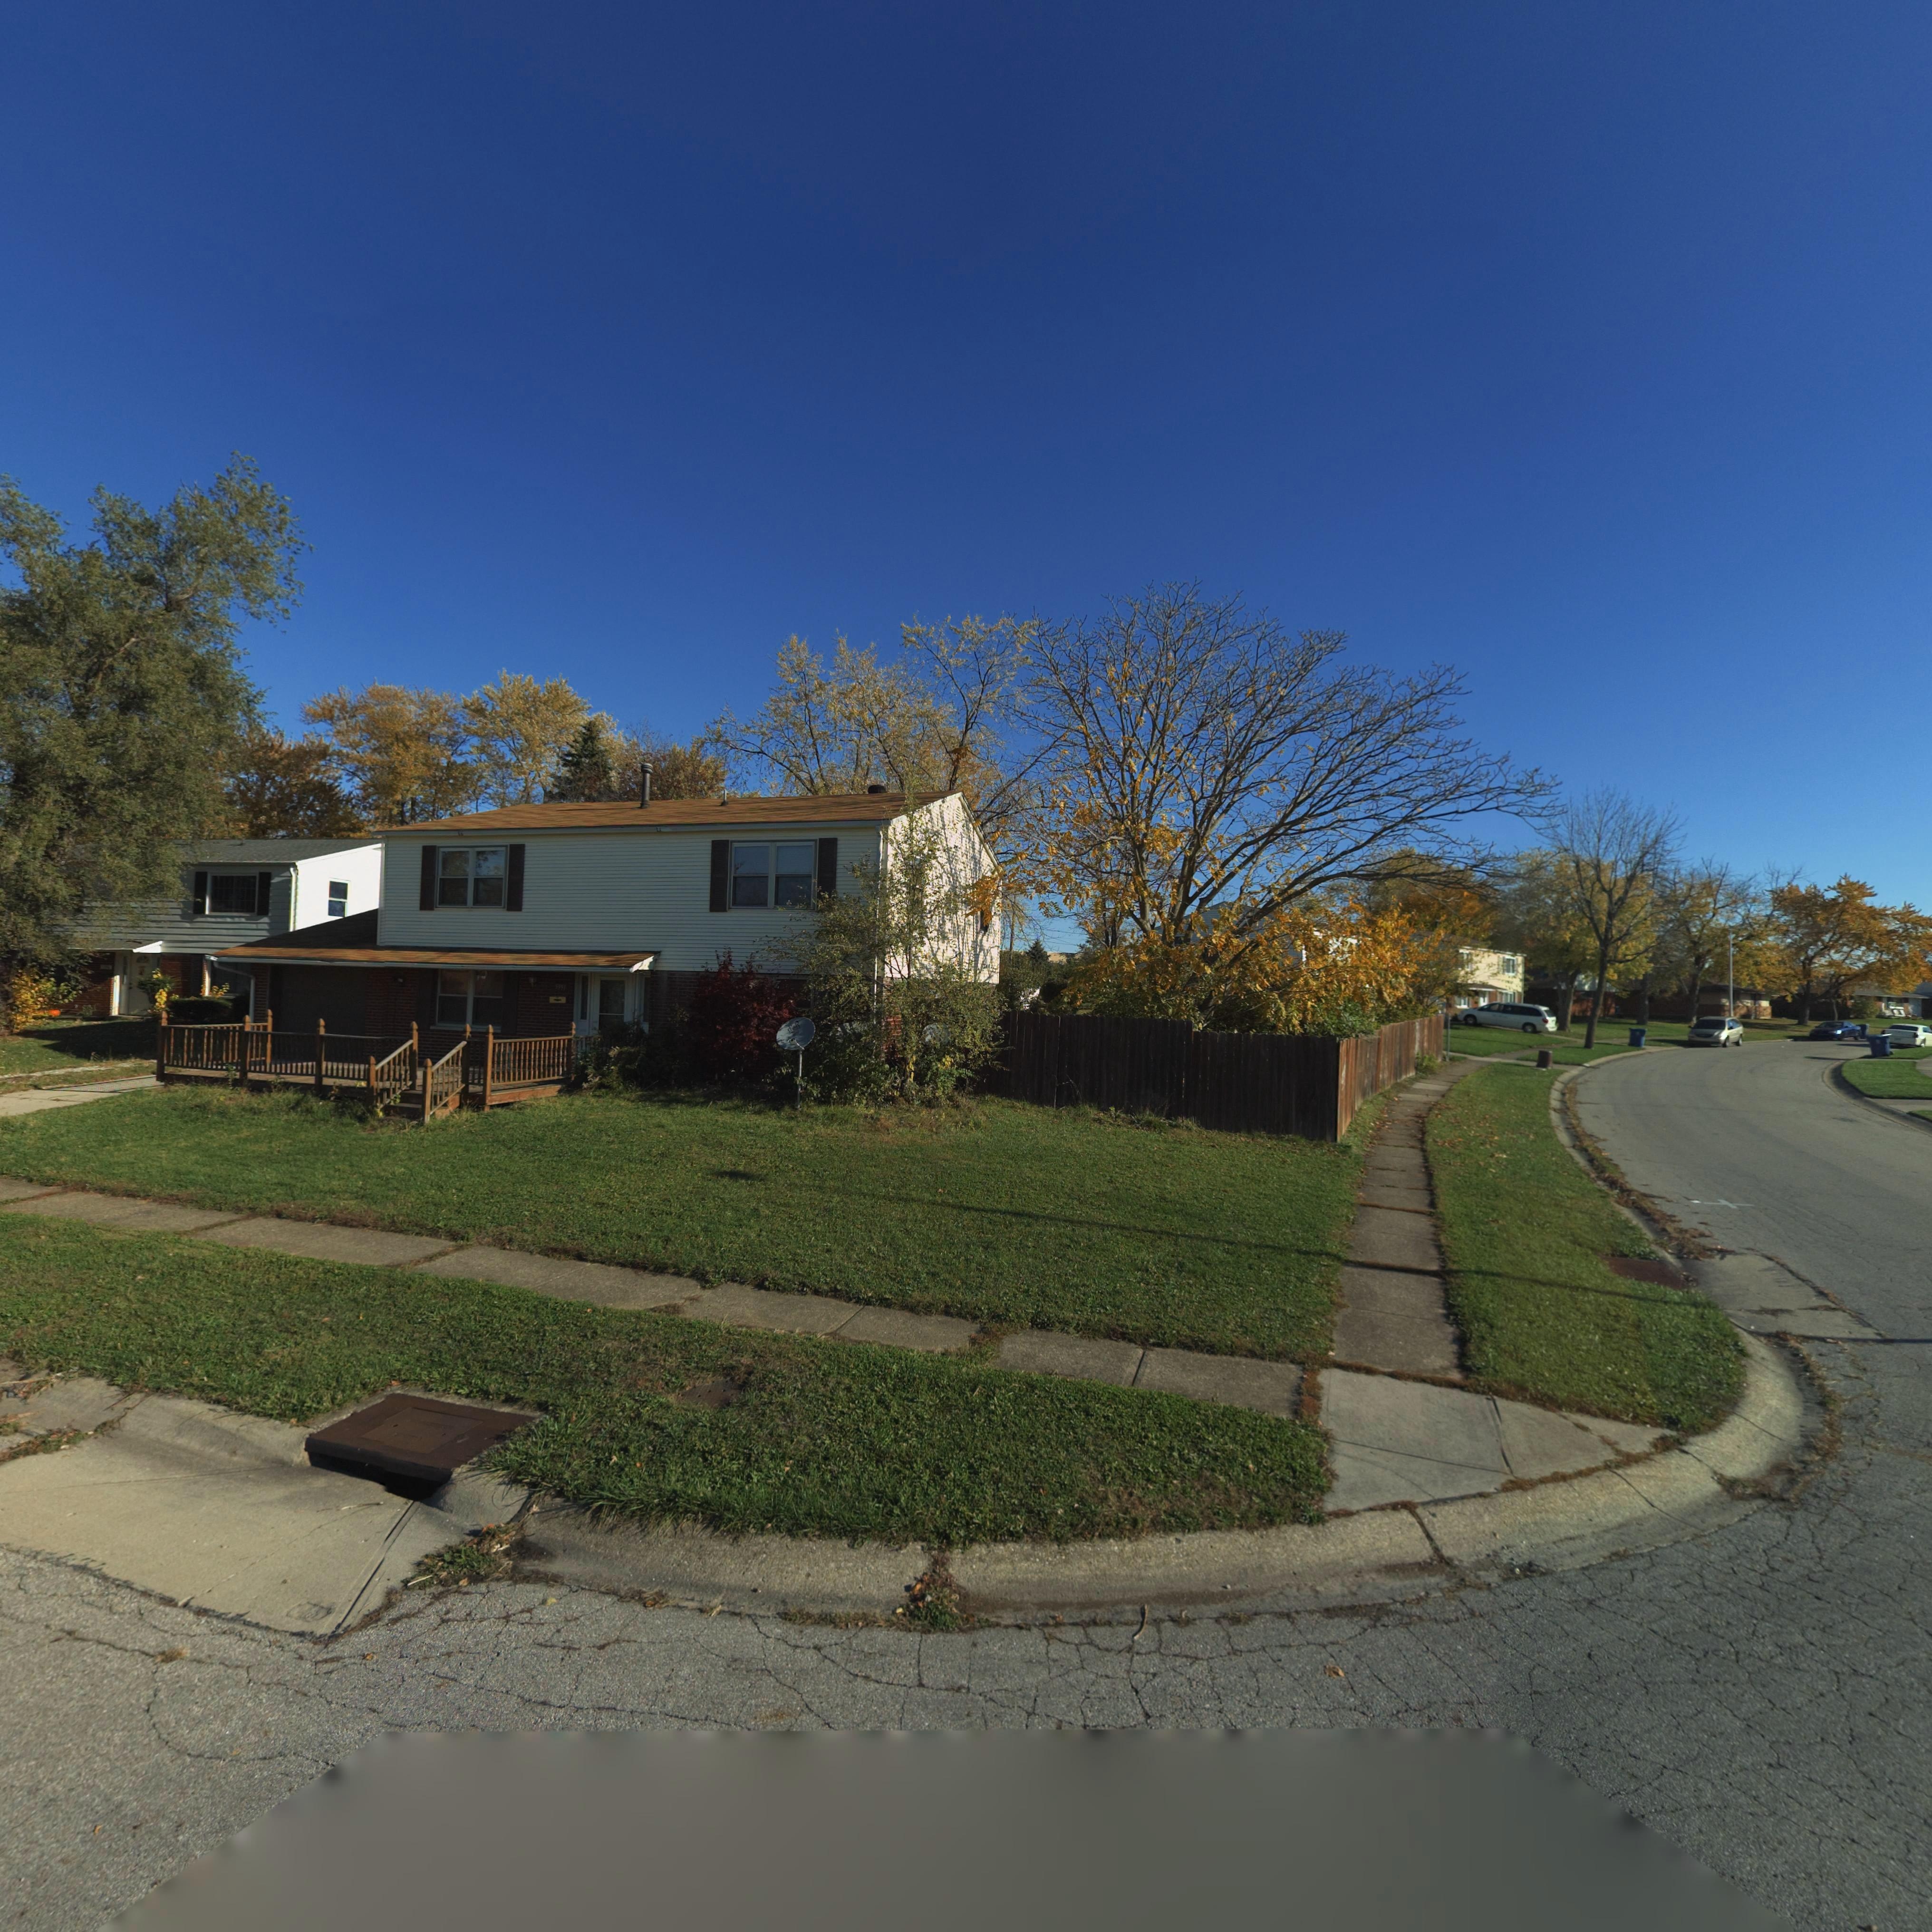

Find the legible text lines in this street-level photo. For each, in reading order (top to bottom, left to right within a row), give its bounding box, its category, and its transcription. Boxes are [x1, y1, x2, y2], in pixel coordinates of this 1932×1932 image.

[554, 983, 567, 992] StreetNumber: 59**